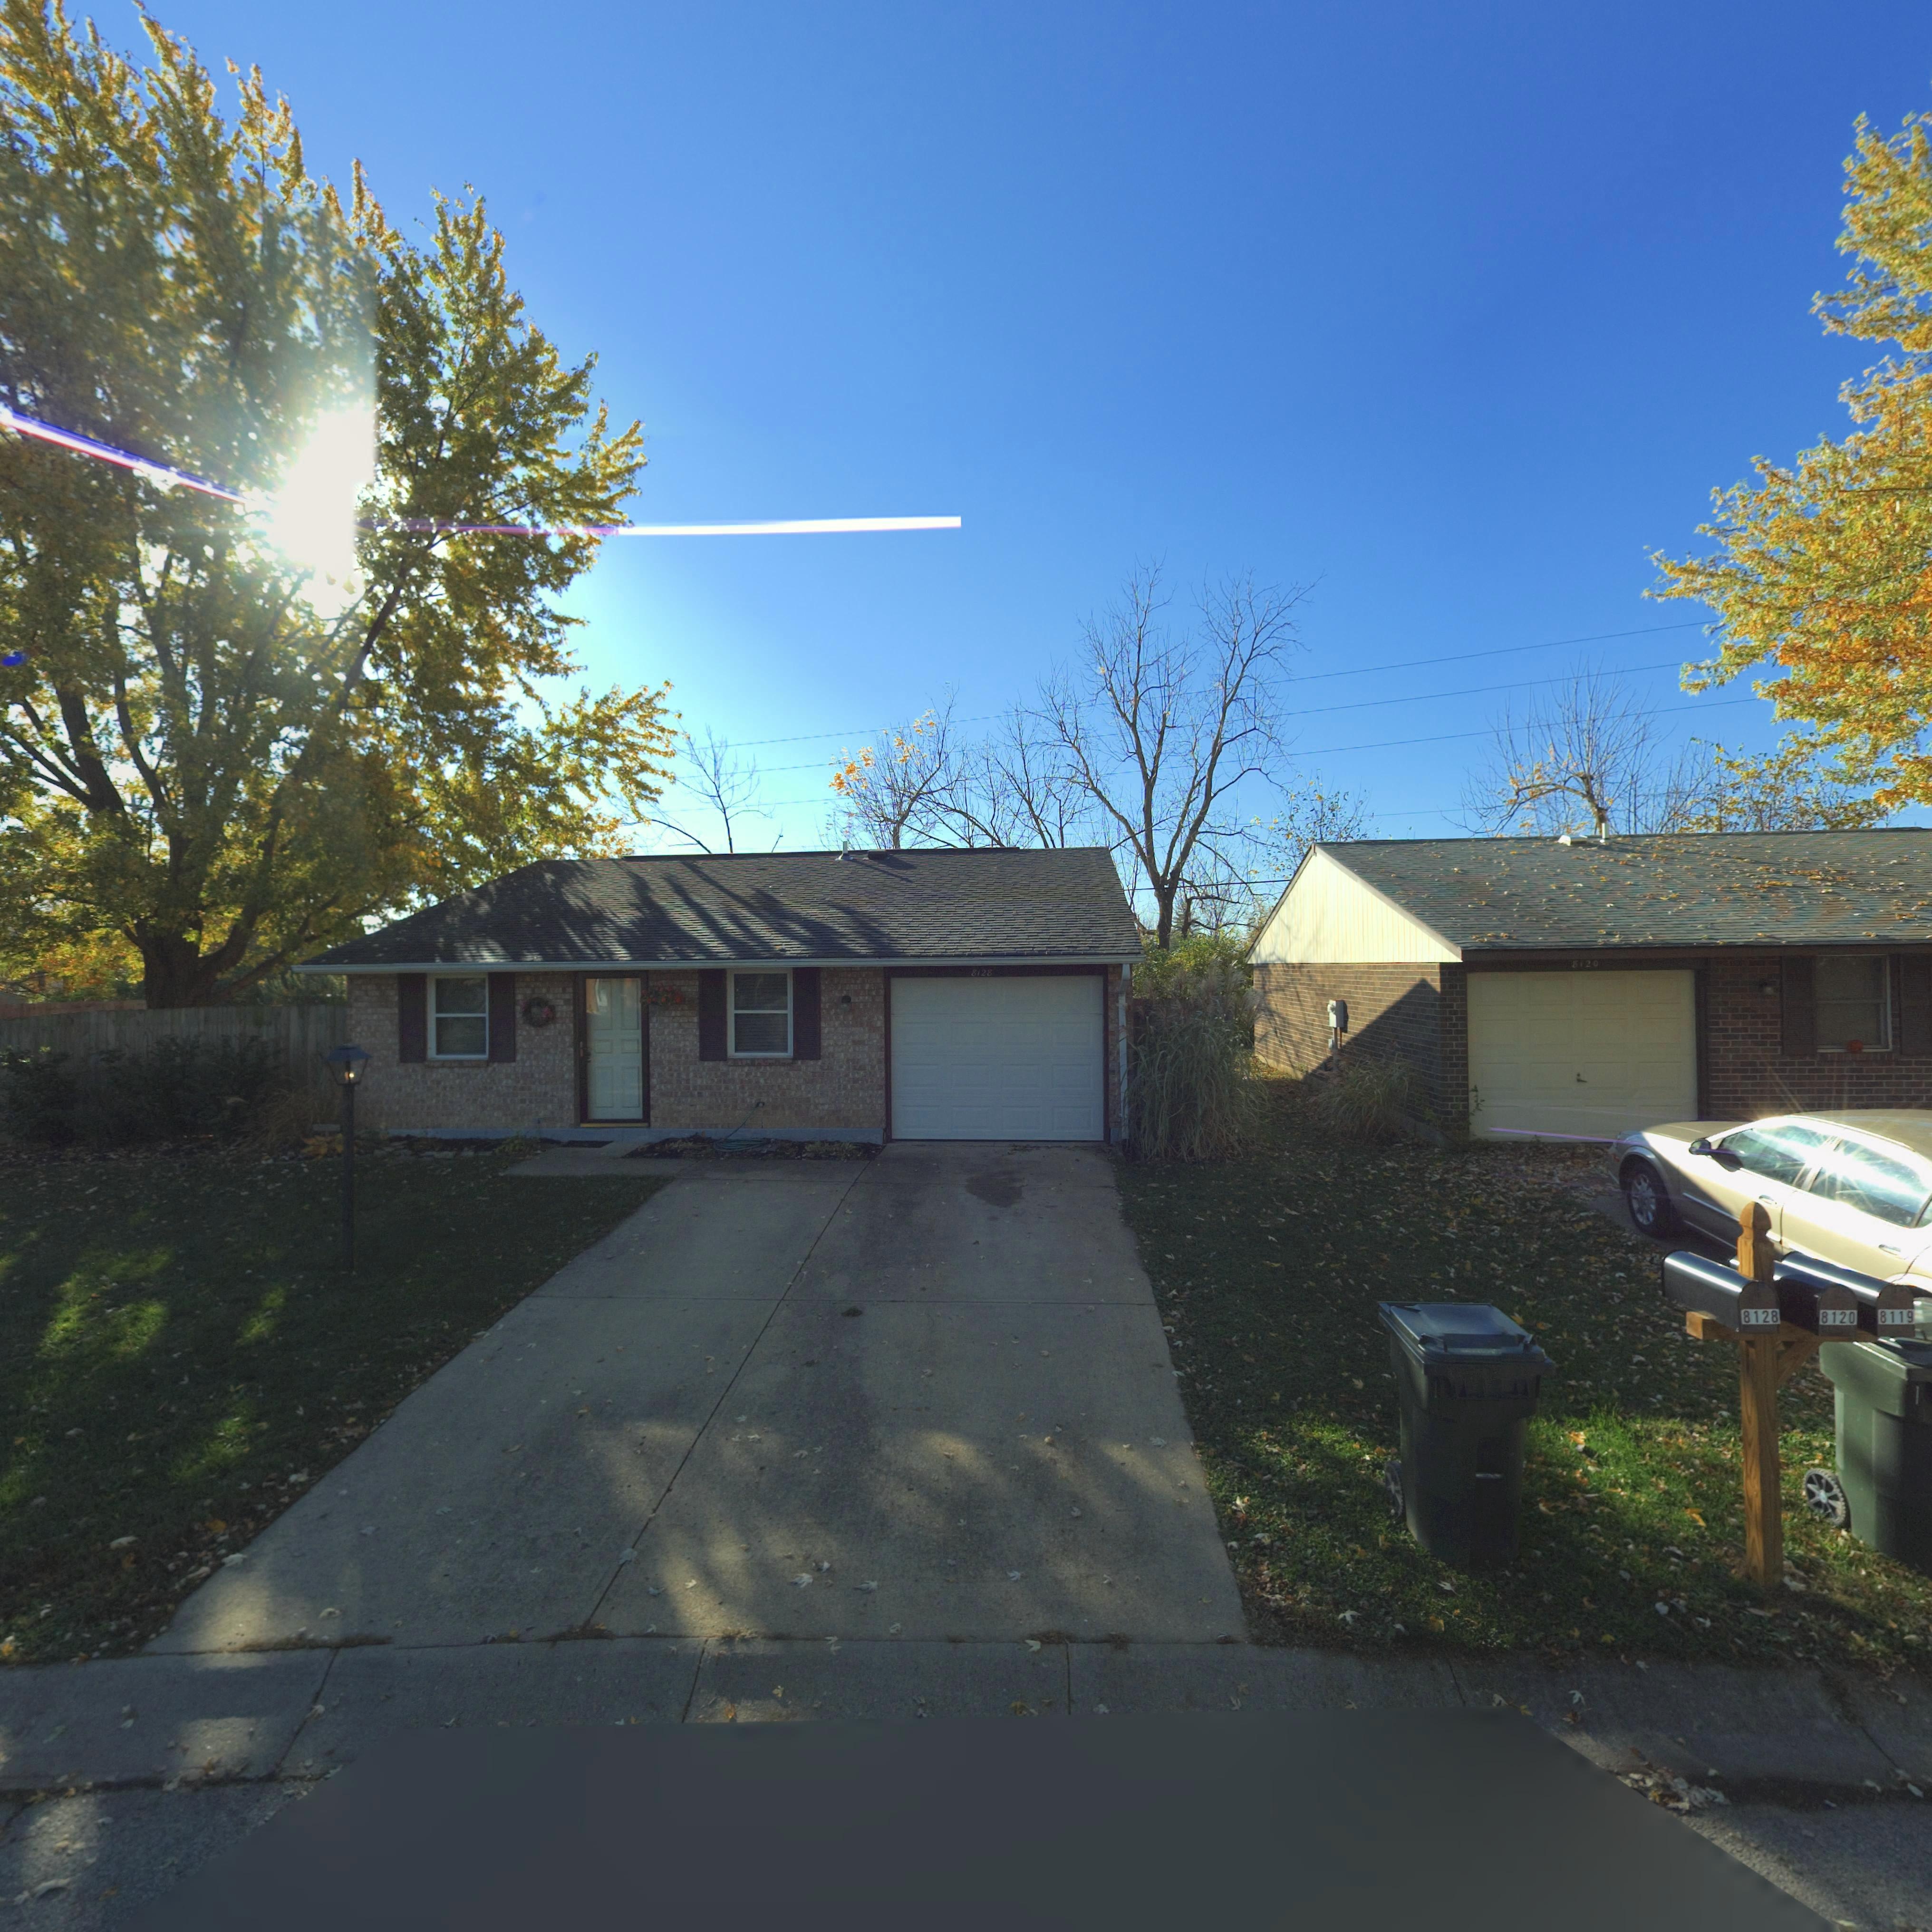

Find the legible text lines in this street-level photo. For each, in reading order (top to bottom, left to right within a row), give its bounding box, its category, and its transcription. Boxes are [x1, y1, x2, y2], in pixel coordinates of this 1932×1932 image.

[1571, 959, 1600, 969] StreetNumber: 8*20
[970, 968, 994, 977] StreetNumber: 8128
[1742, 1309, 1780, 1325] StreetNumber: 8128
[1820, 1310, 1856, 1326] StreetNumber: 8120
[1878, 1309, 1915, 1325] StreetNumber: 8119